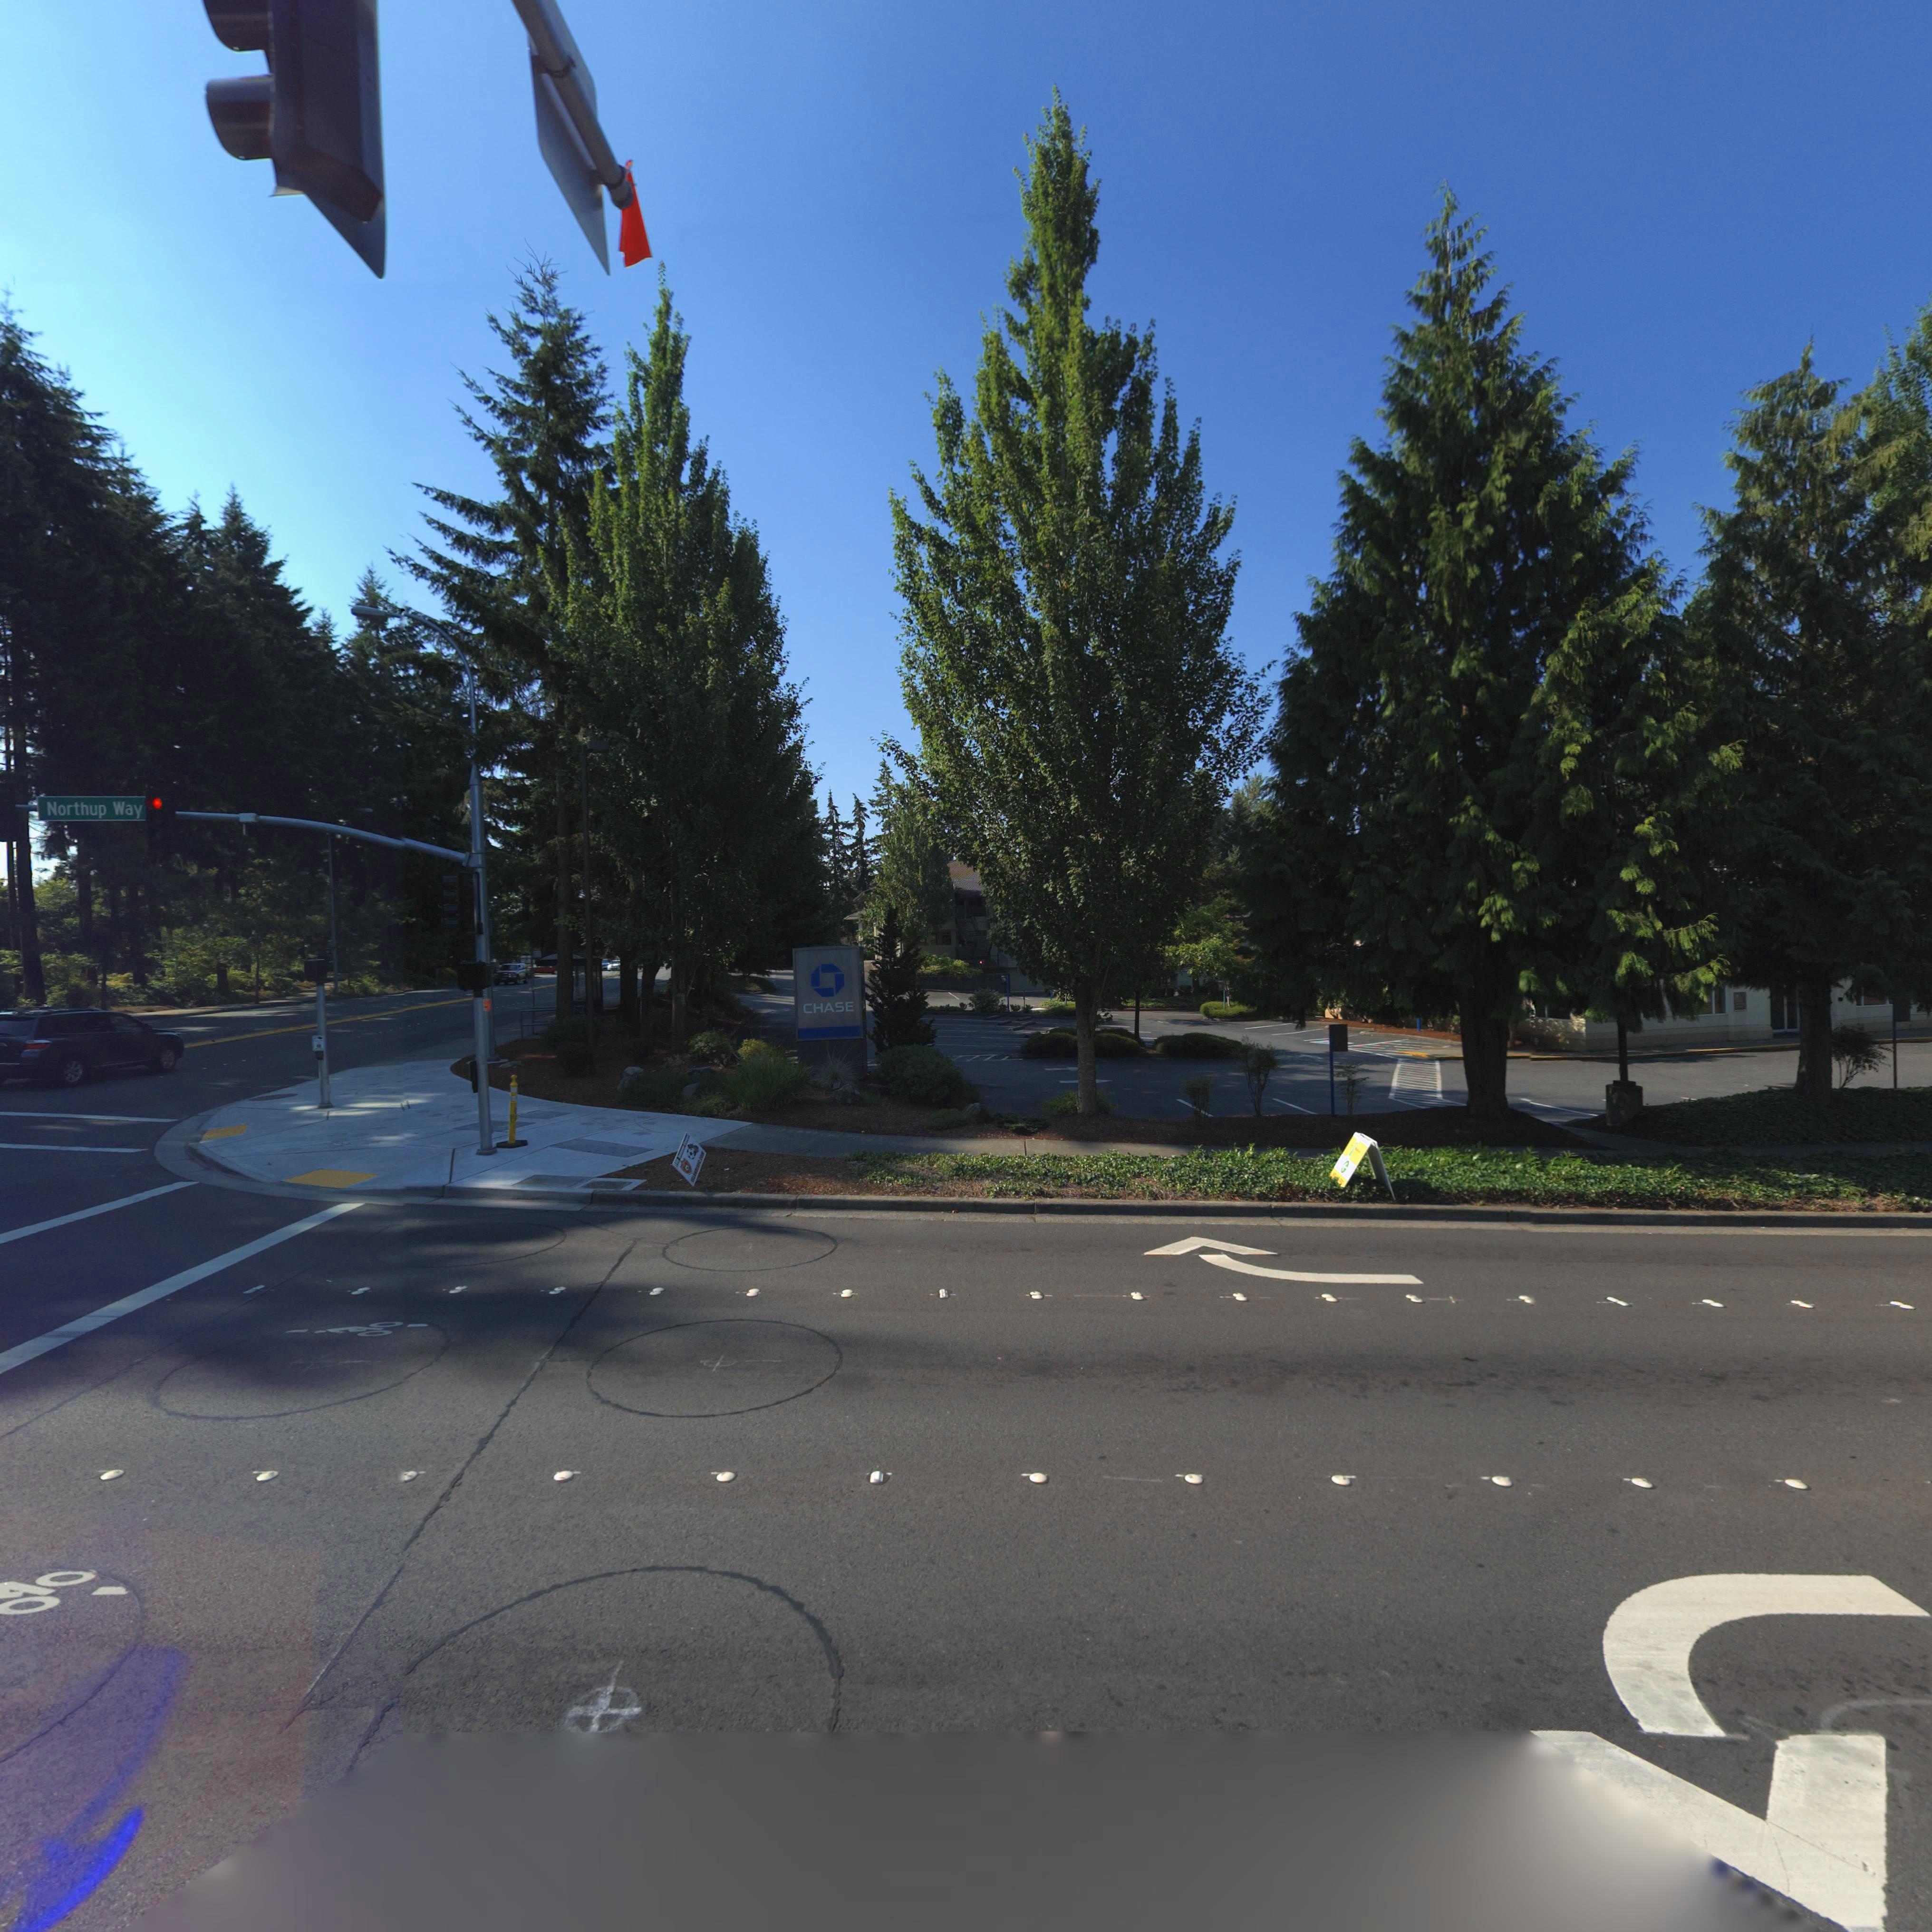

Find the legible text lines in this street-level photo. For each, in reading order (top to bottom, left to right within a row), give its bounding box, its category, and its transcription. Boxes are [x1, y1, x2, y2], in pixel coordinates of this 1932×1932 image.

[47, 802, 143, 818] StreetName: Northup Way
[803, 1001, 854, 1014] BusinessName: CHASE